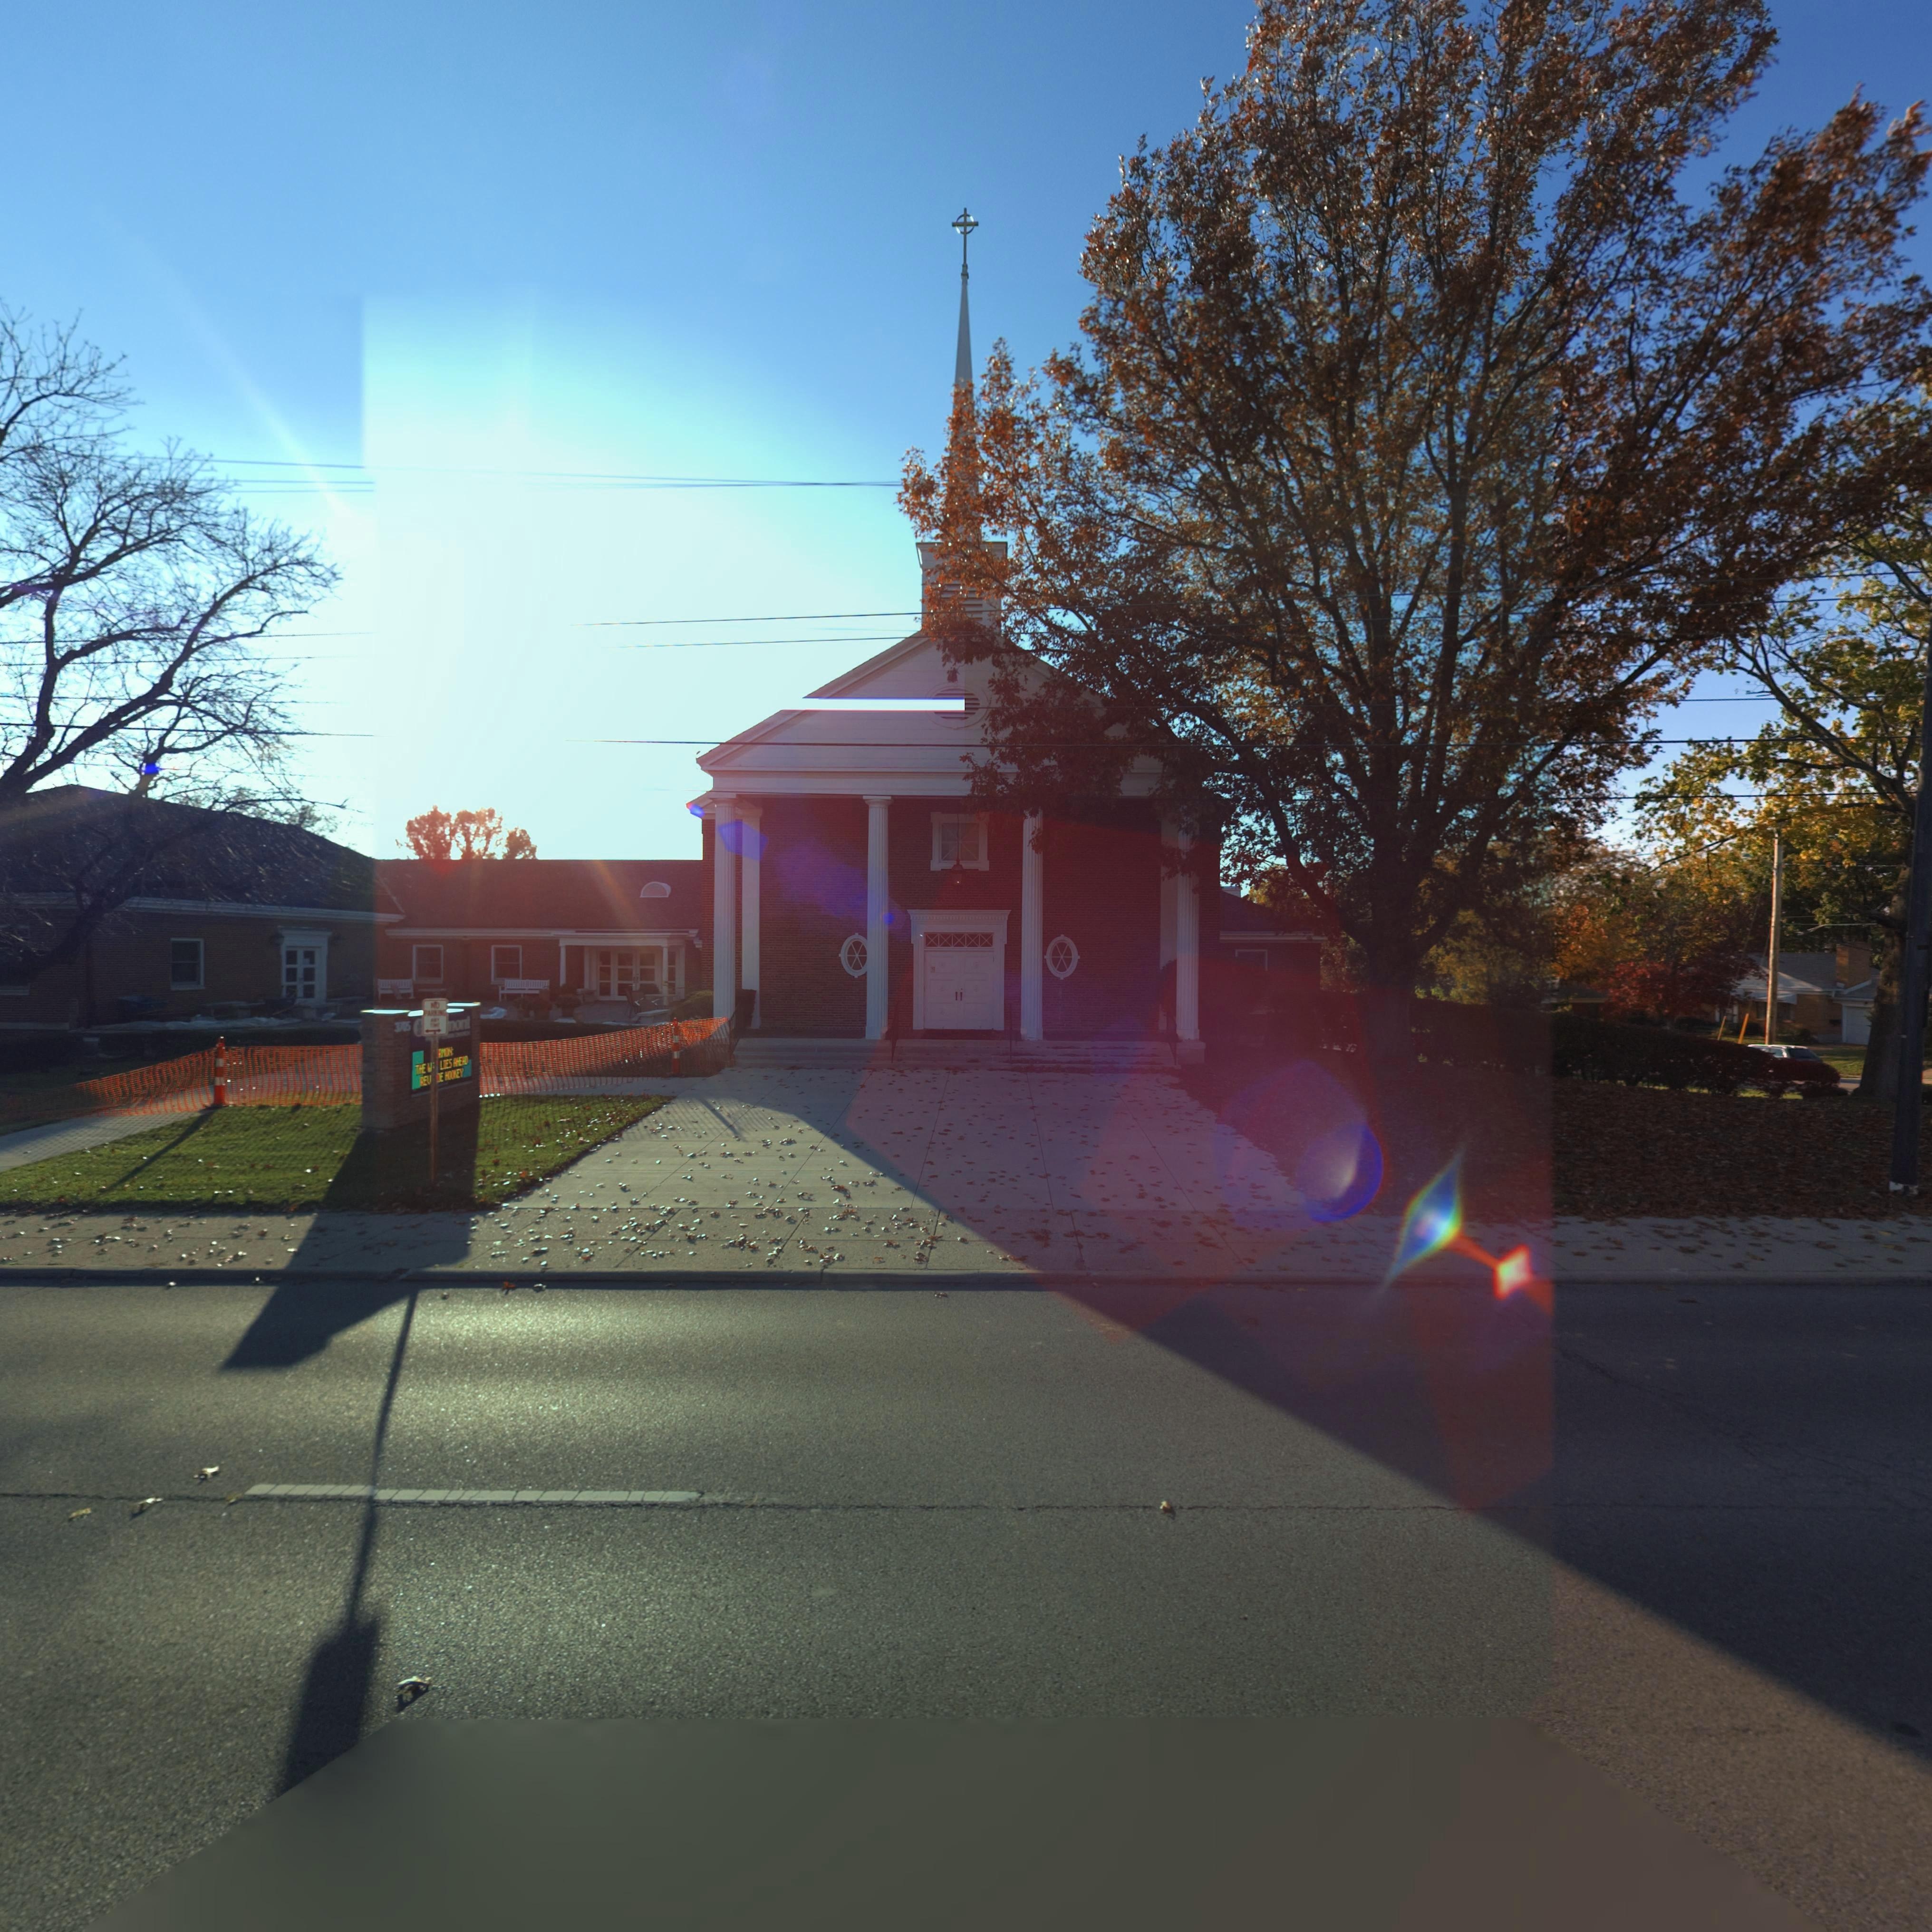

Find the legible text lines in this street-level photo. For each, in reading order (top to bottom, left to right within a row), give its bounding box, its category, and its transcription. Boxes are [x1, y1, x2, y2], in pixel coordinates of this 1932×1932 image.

[393, 1019, 412, 1034] StreetNumber: 3705